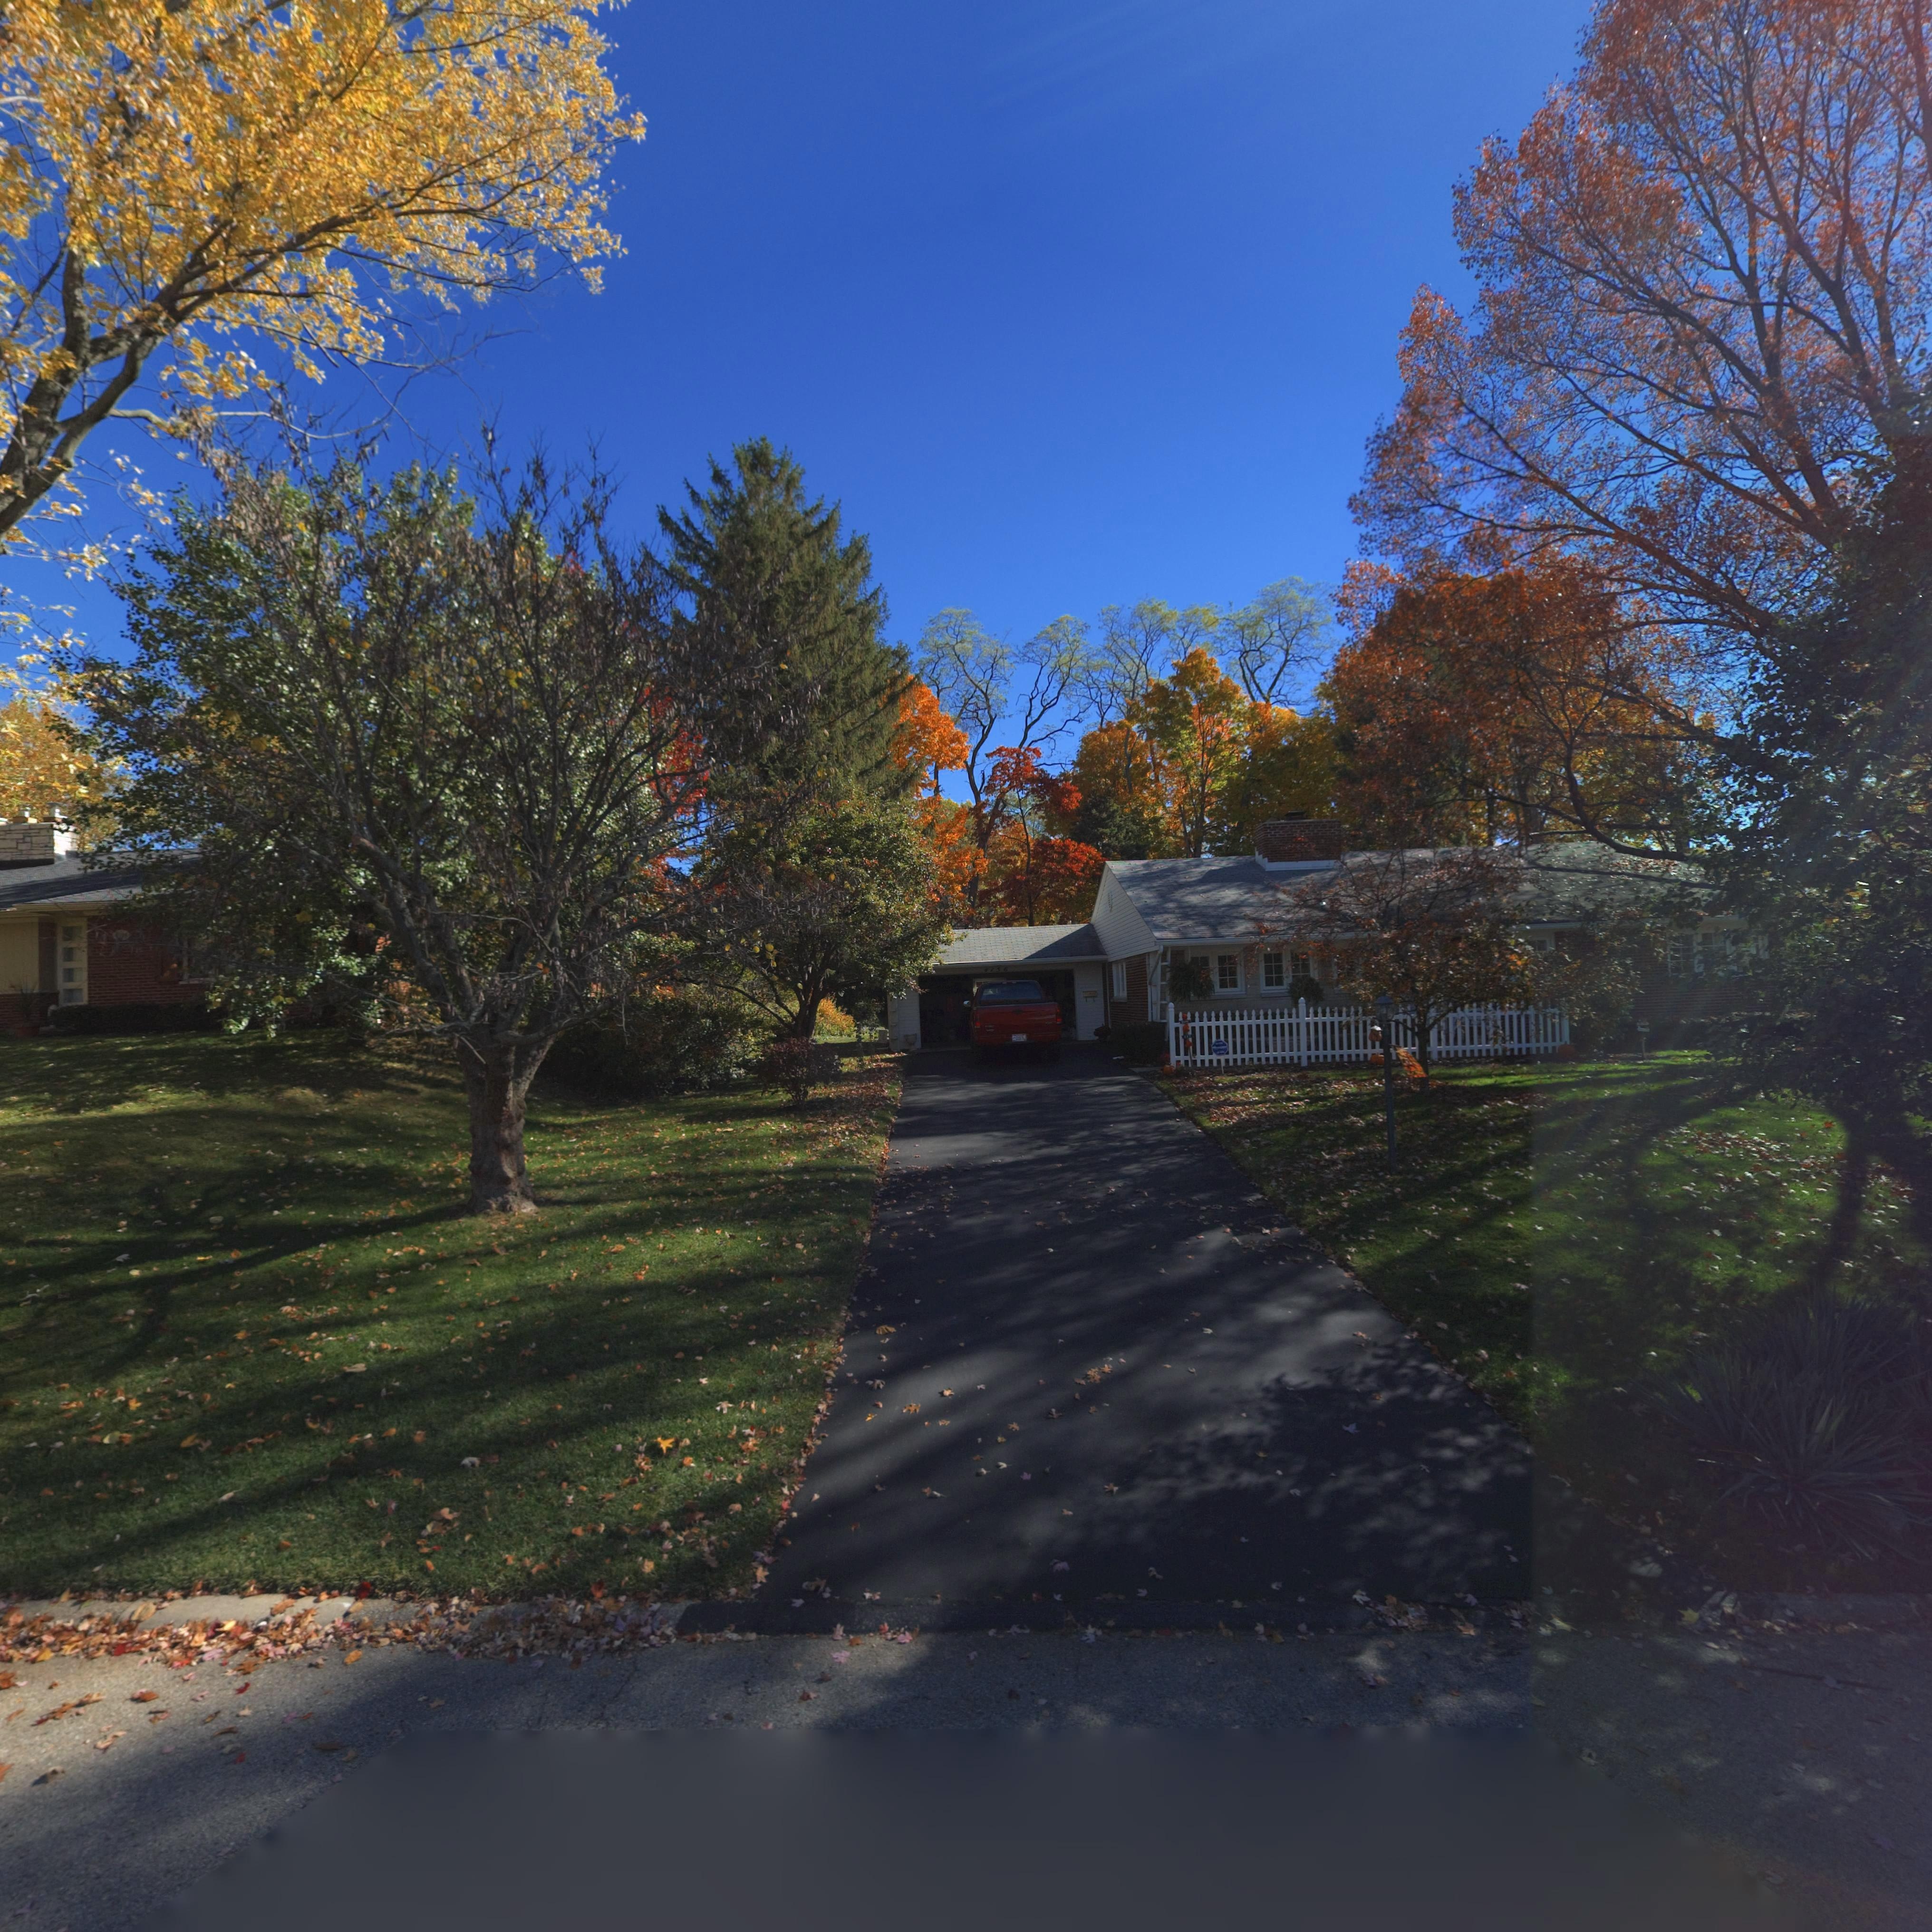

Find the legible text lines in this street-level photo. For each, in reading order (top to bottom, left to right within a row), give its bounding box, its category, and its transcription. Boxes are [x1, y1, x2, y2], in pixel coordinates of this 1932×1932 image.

[984, 966, 1009, 973] StreetNumber: 4156